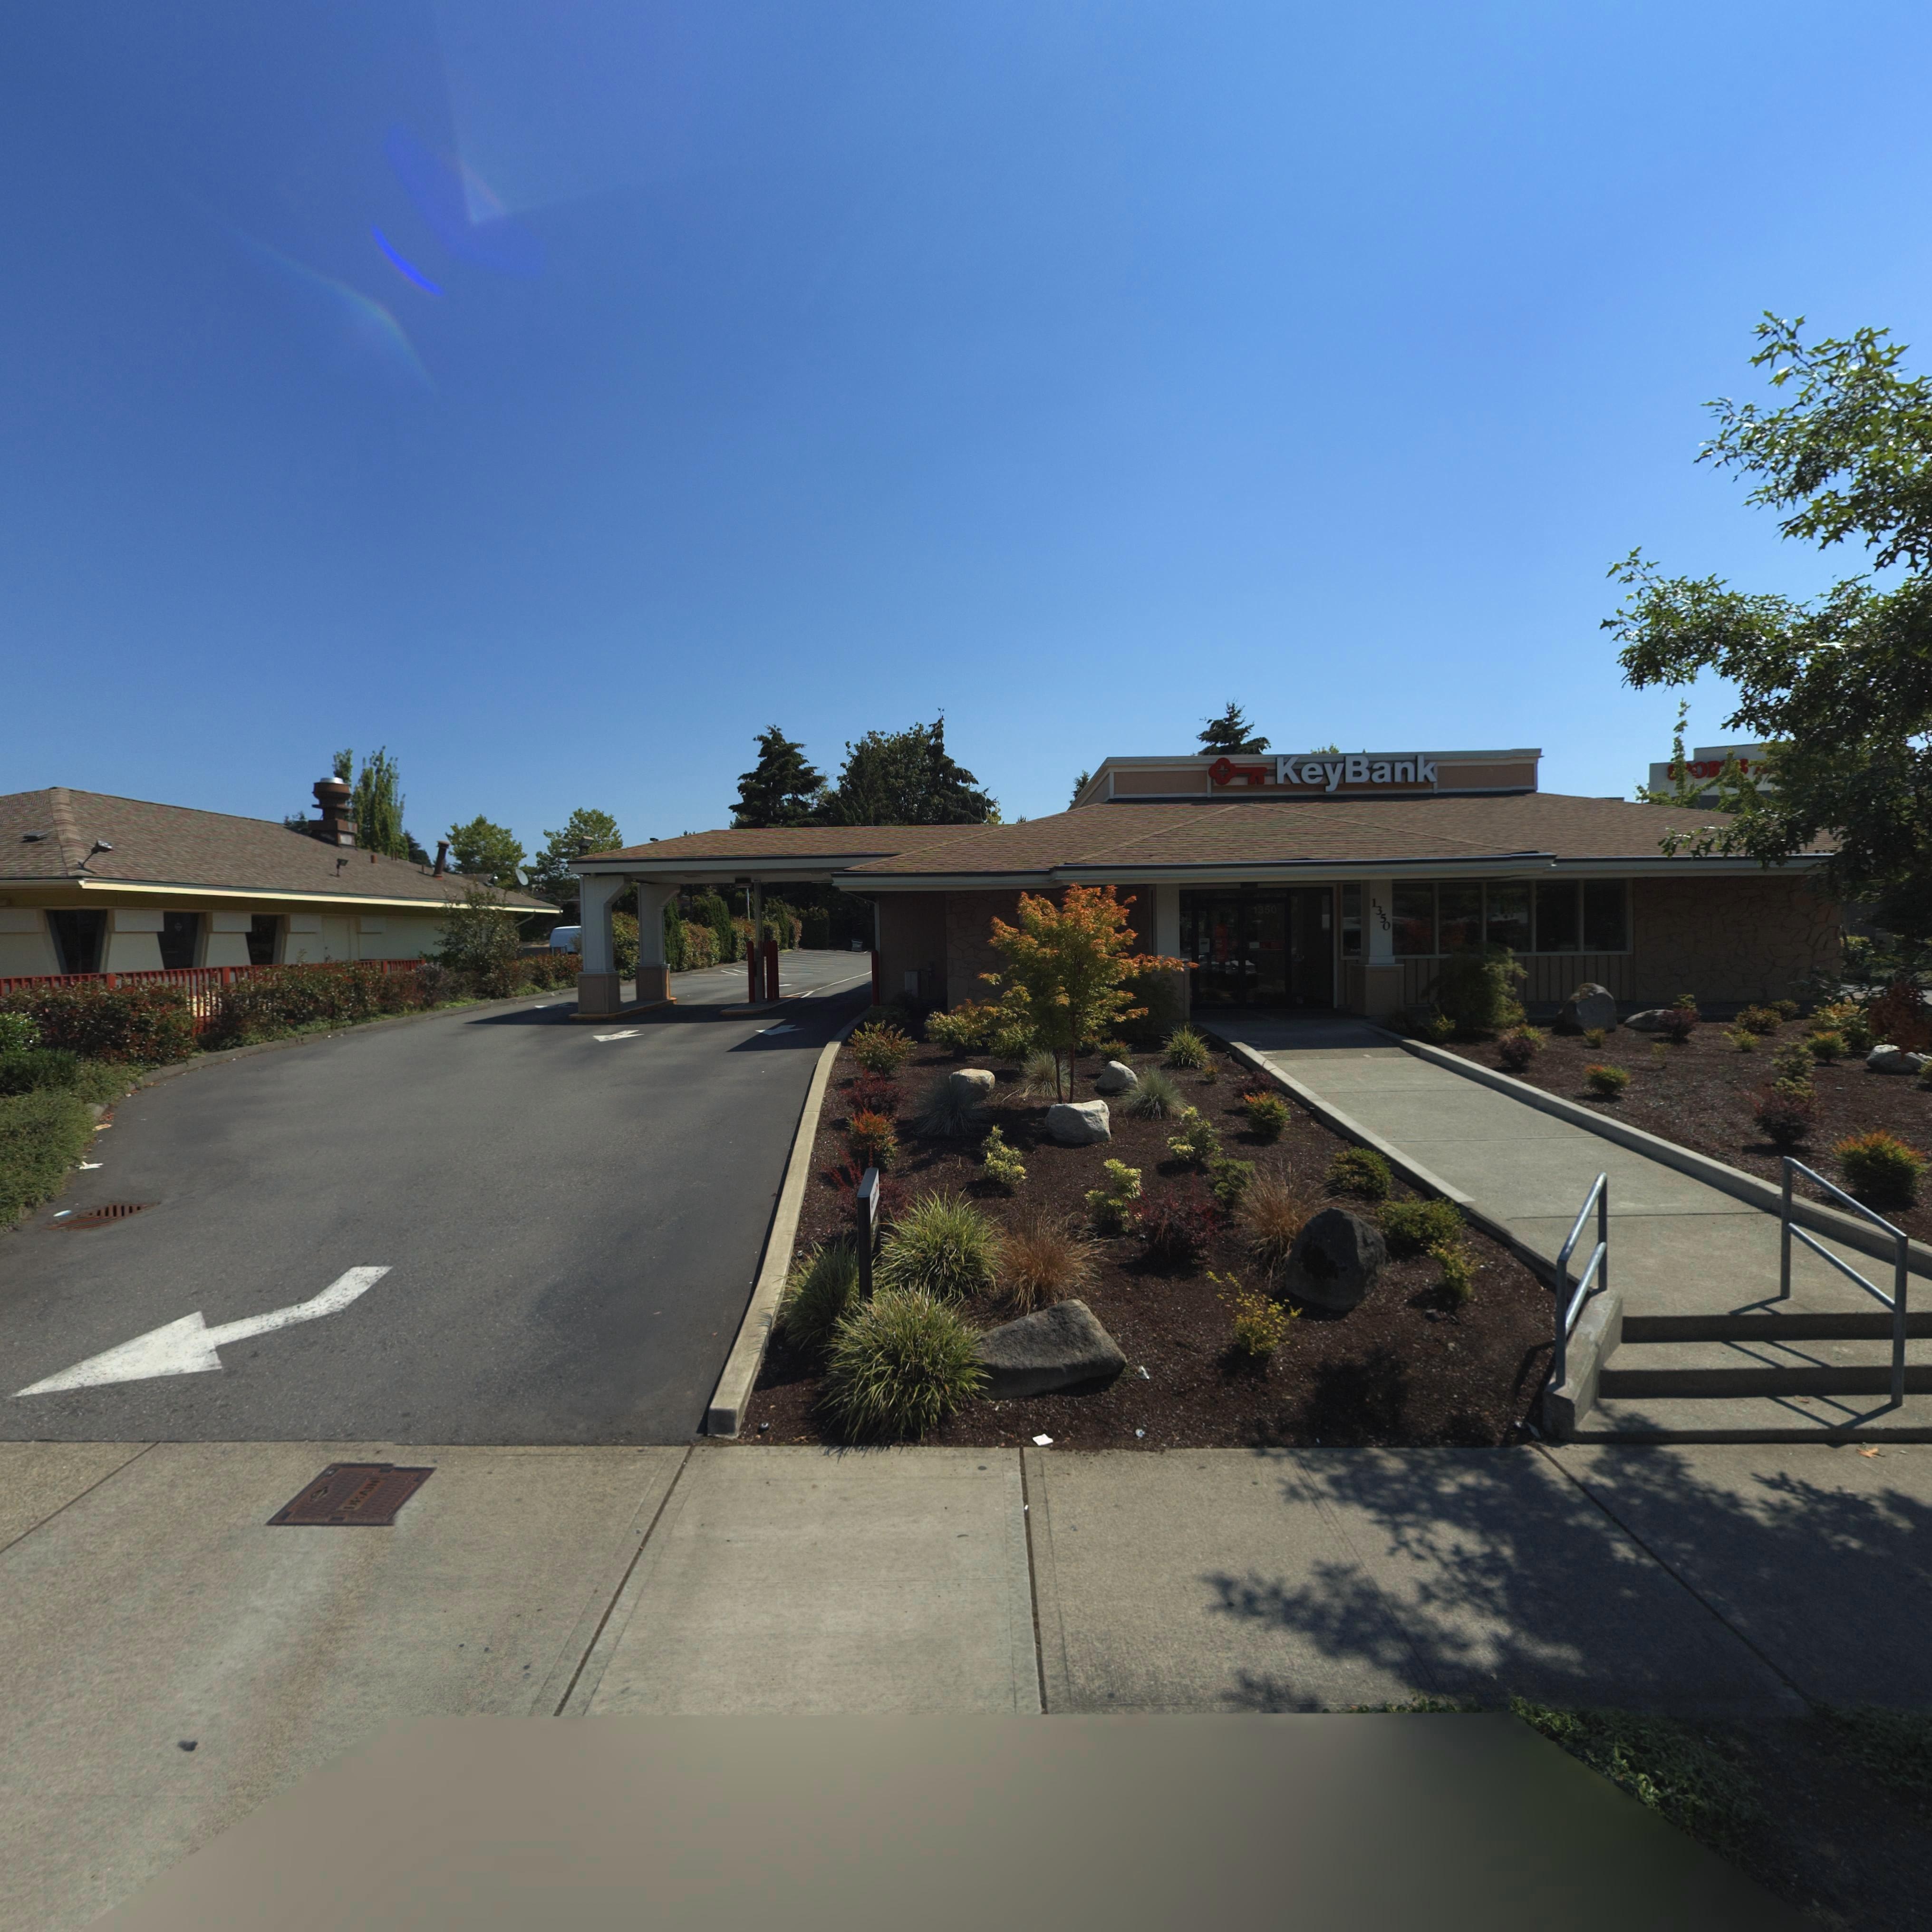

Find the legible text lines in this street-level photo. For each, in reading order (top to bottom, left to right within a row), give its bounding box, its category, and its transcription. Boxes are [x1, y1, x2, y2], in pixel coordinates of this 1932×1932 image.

[1218, 726, 1456, 803] BusinessName: KeyBank
[1253, 905, 1277, 916] StreetNumber: 1350
[1354, 886, 1403, 947] StreetNumber: 1350